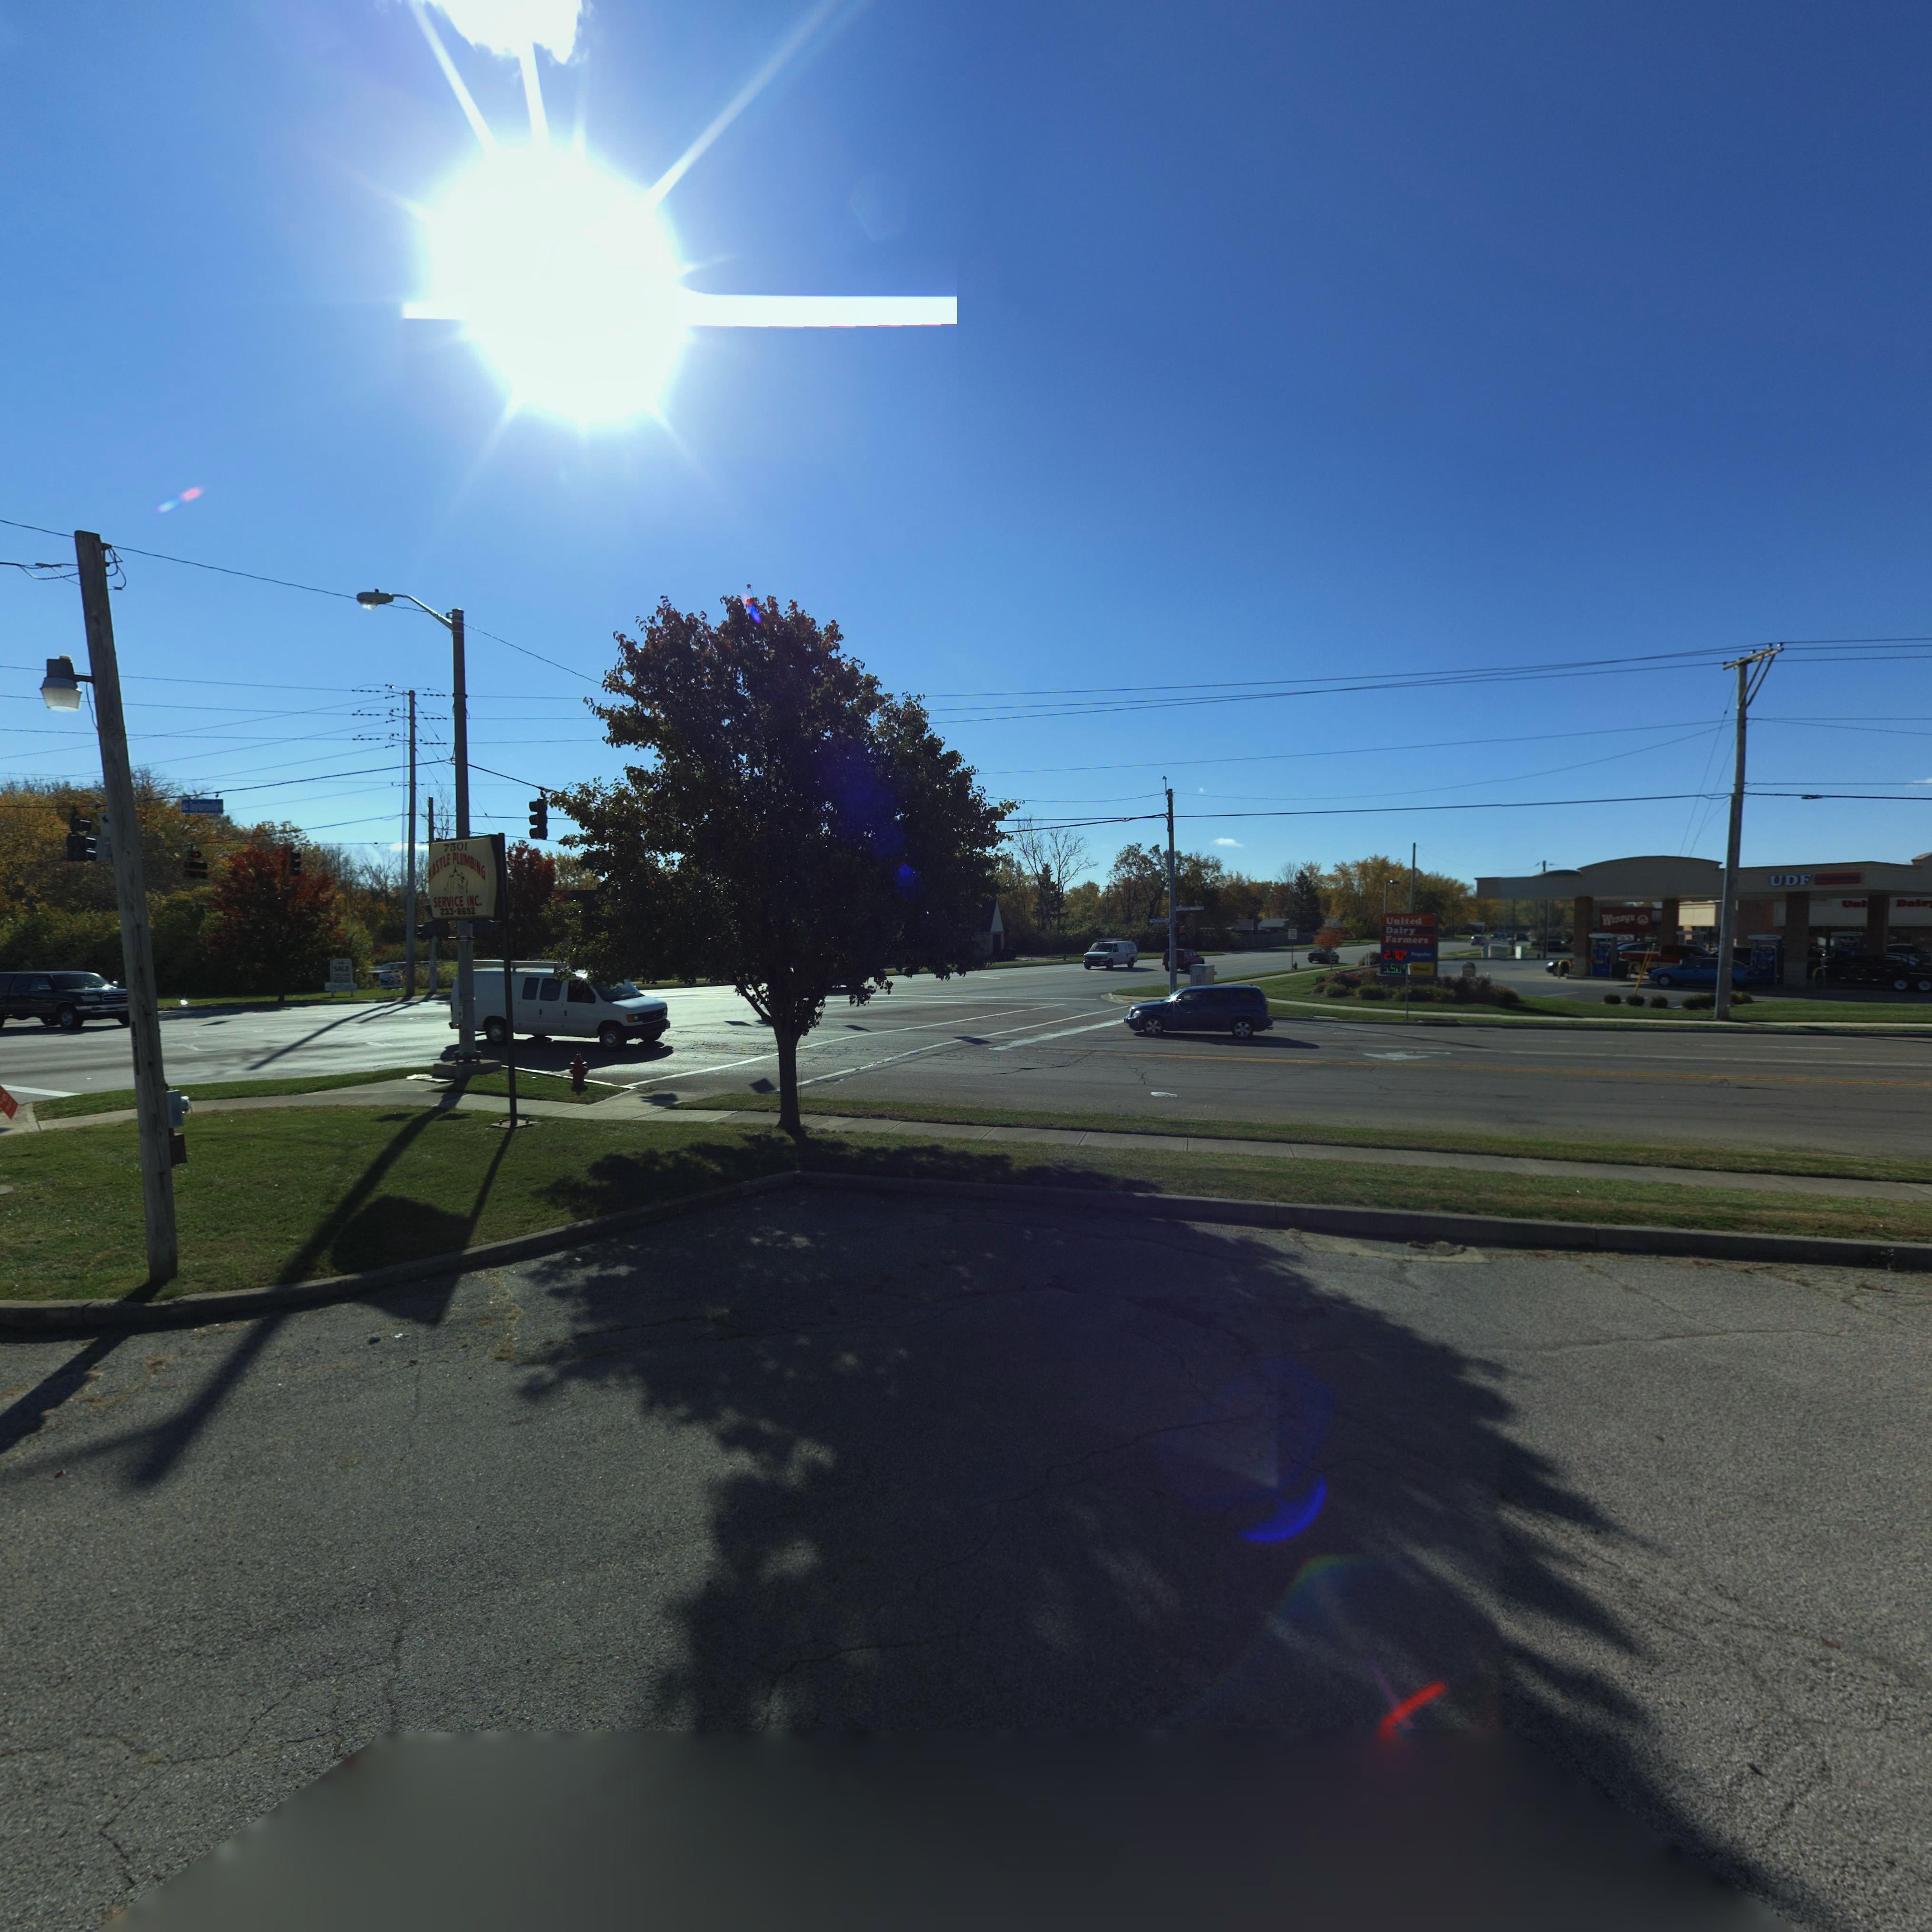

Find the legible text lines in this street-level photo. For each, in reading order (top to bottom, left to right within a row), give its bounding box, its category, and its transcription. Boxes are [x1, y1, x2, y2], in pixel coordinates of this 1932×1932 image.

[188, 801, 209, 813] StreetName: Taylors
[443, 841, 468, 852] StreetNumber: 7501
[428, 851, 486, 885] BusinessName: KASTLE PLUMBING
[433, 895, 483, 908] BusinessName: SERVICE INC.
[1385, 917, 1422, 925] None: United
[1602, 914, 1636, 927] BusinessName: WEnDy's
[1385, 926, 1417, 936] None: Dairy
[1385, 935, 1429, 944] None: Farmers